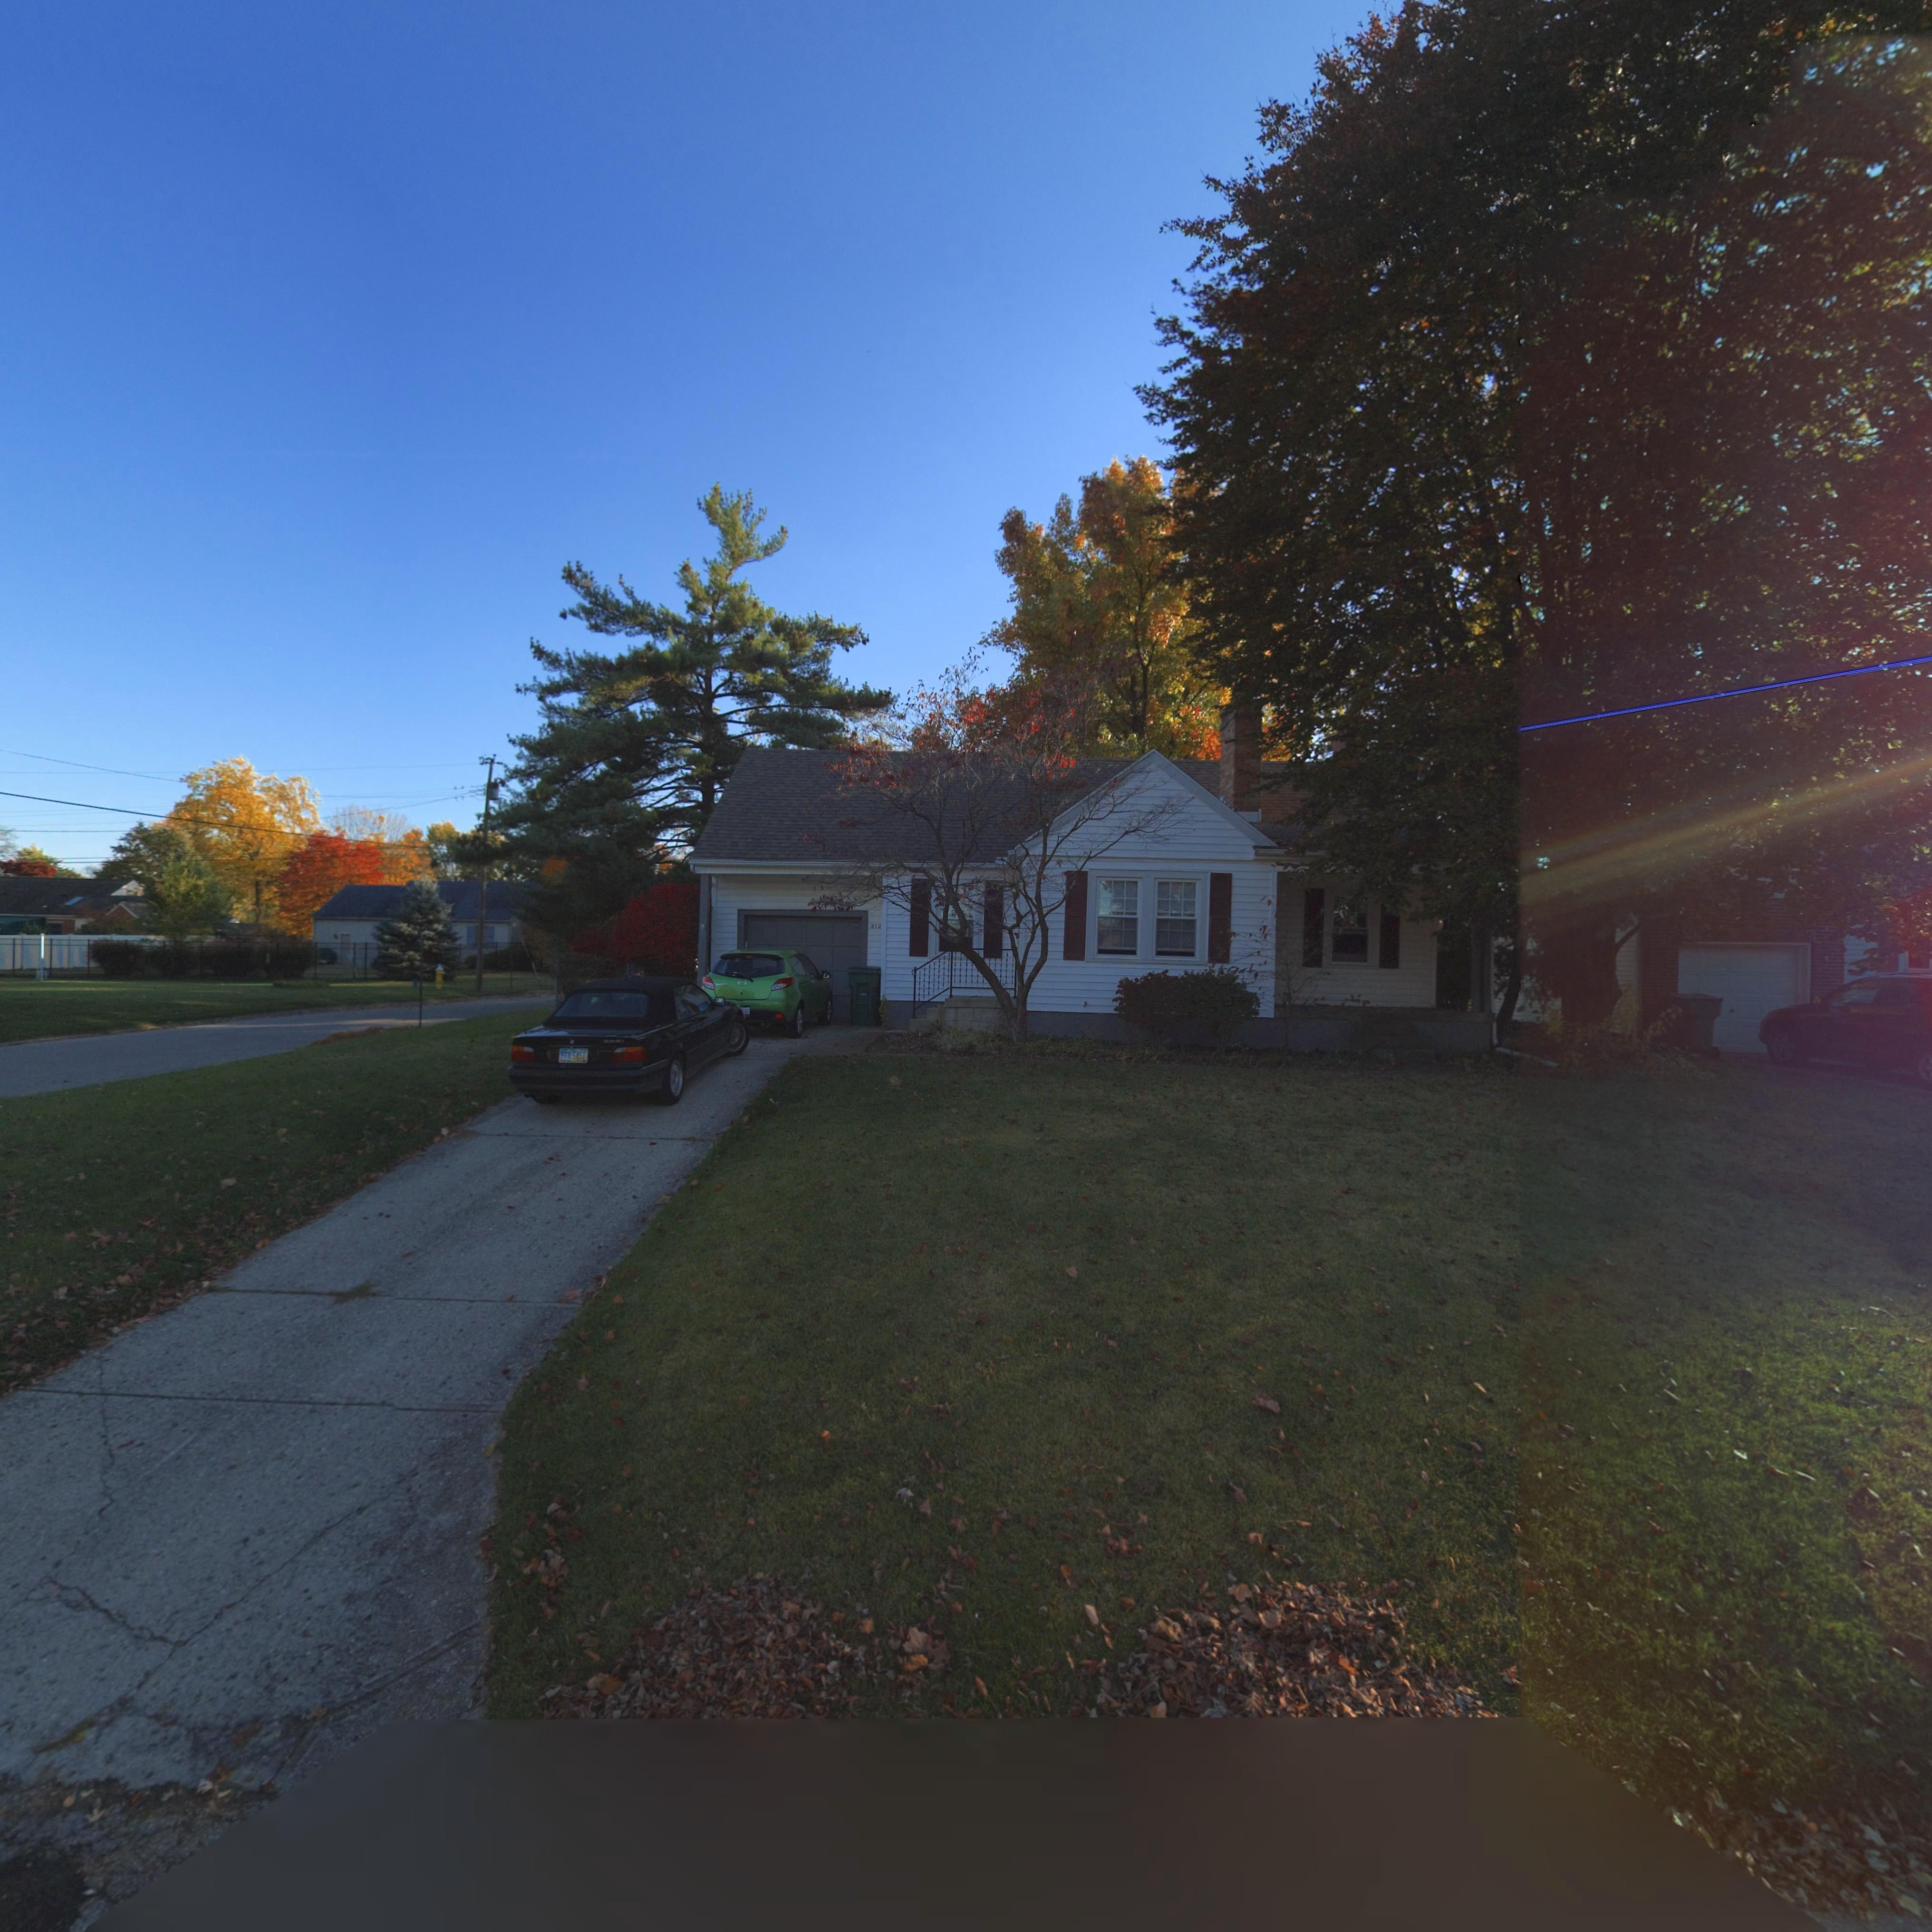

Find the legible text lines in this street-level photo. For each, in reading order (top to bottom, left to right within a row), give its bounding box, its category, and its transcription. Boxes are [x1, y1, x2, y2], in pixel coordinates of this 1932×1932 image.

[870, 923, 882, 928] StreetNumber: 212